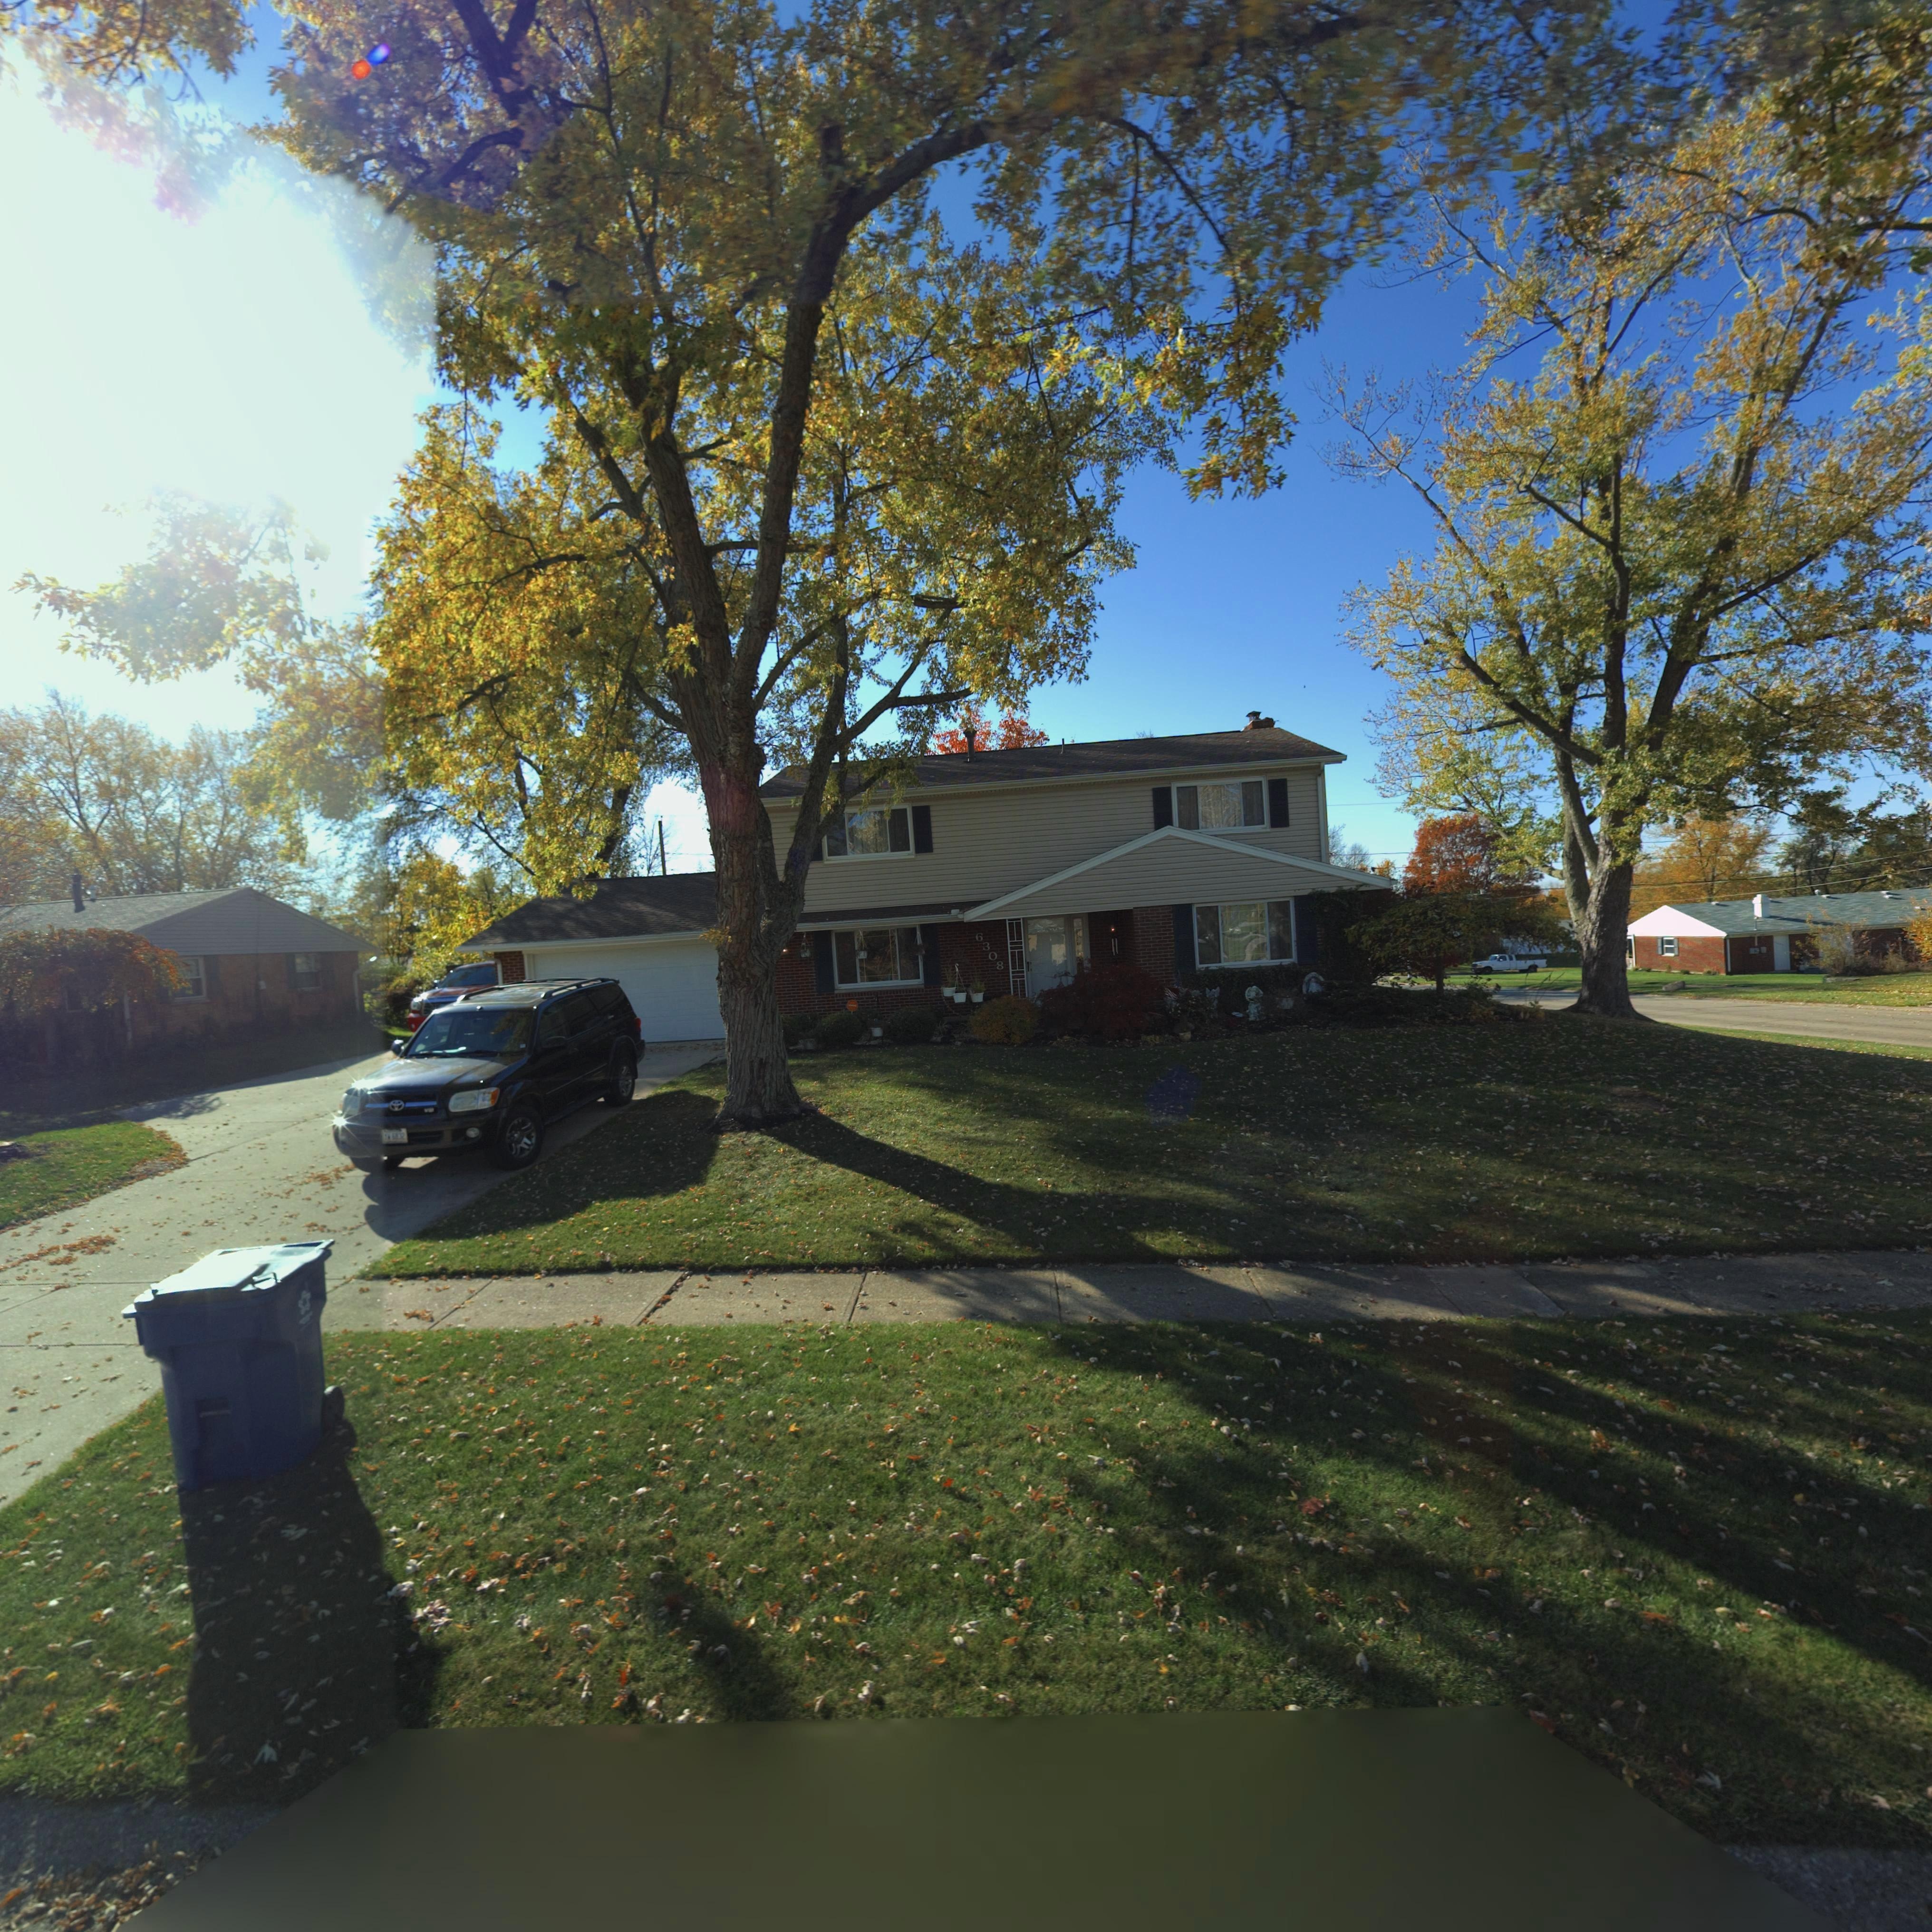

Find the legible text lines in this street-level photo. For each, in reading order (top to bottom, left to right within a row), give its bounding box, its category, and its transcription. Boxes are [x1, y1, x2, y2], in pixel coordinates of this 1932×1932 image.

[975, 931, 1005, 971] StreetNumber: 6308